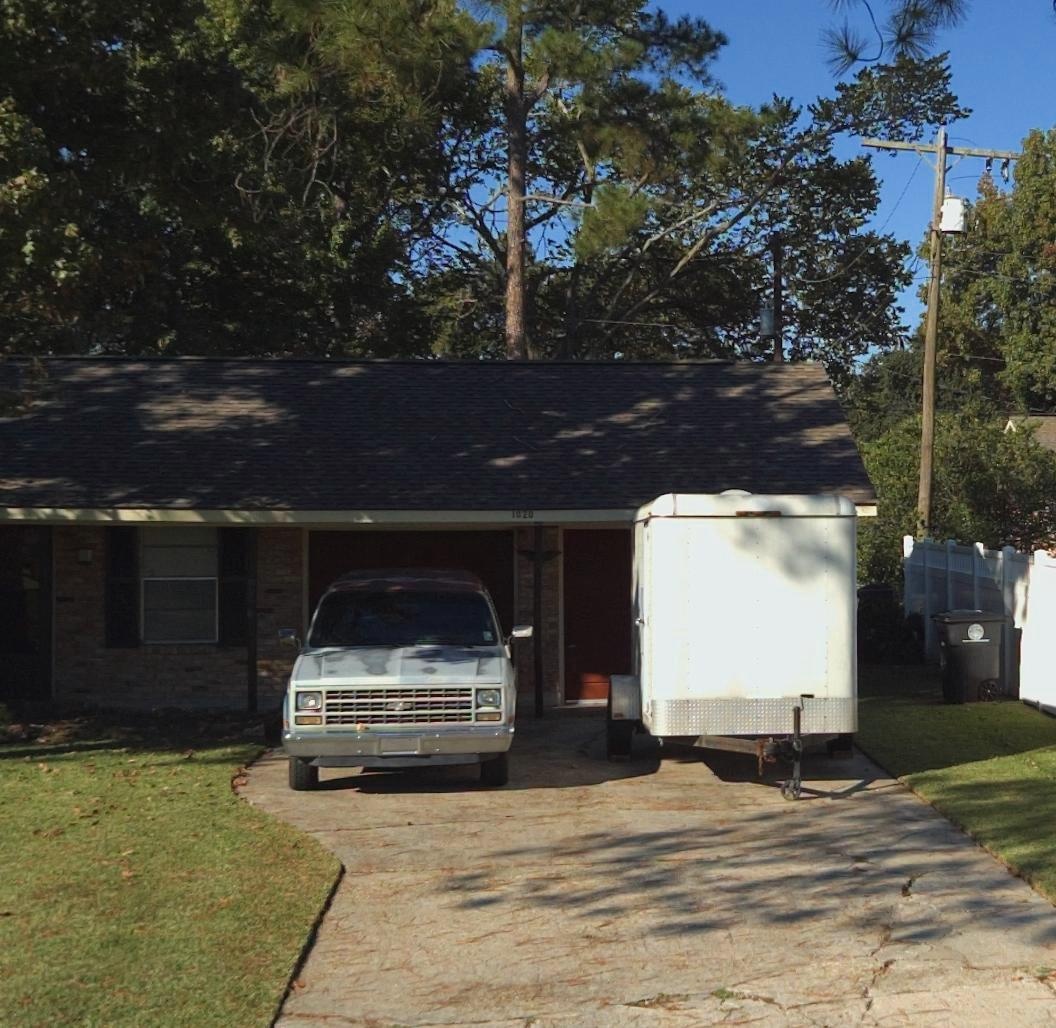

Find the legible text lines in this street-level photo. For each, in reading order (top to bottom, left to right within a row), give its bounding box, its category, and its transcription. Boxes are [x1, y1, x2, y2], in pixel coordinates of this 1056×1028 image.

[510, 508, 535, 520] StreetNumber: 1020